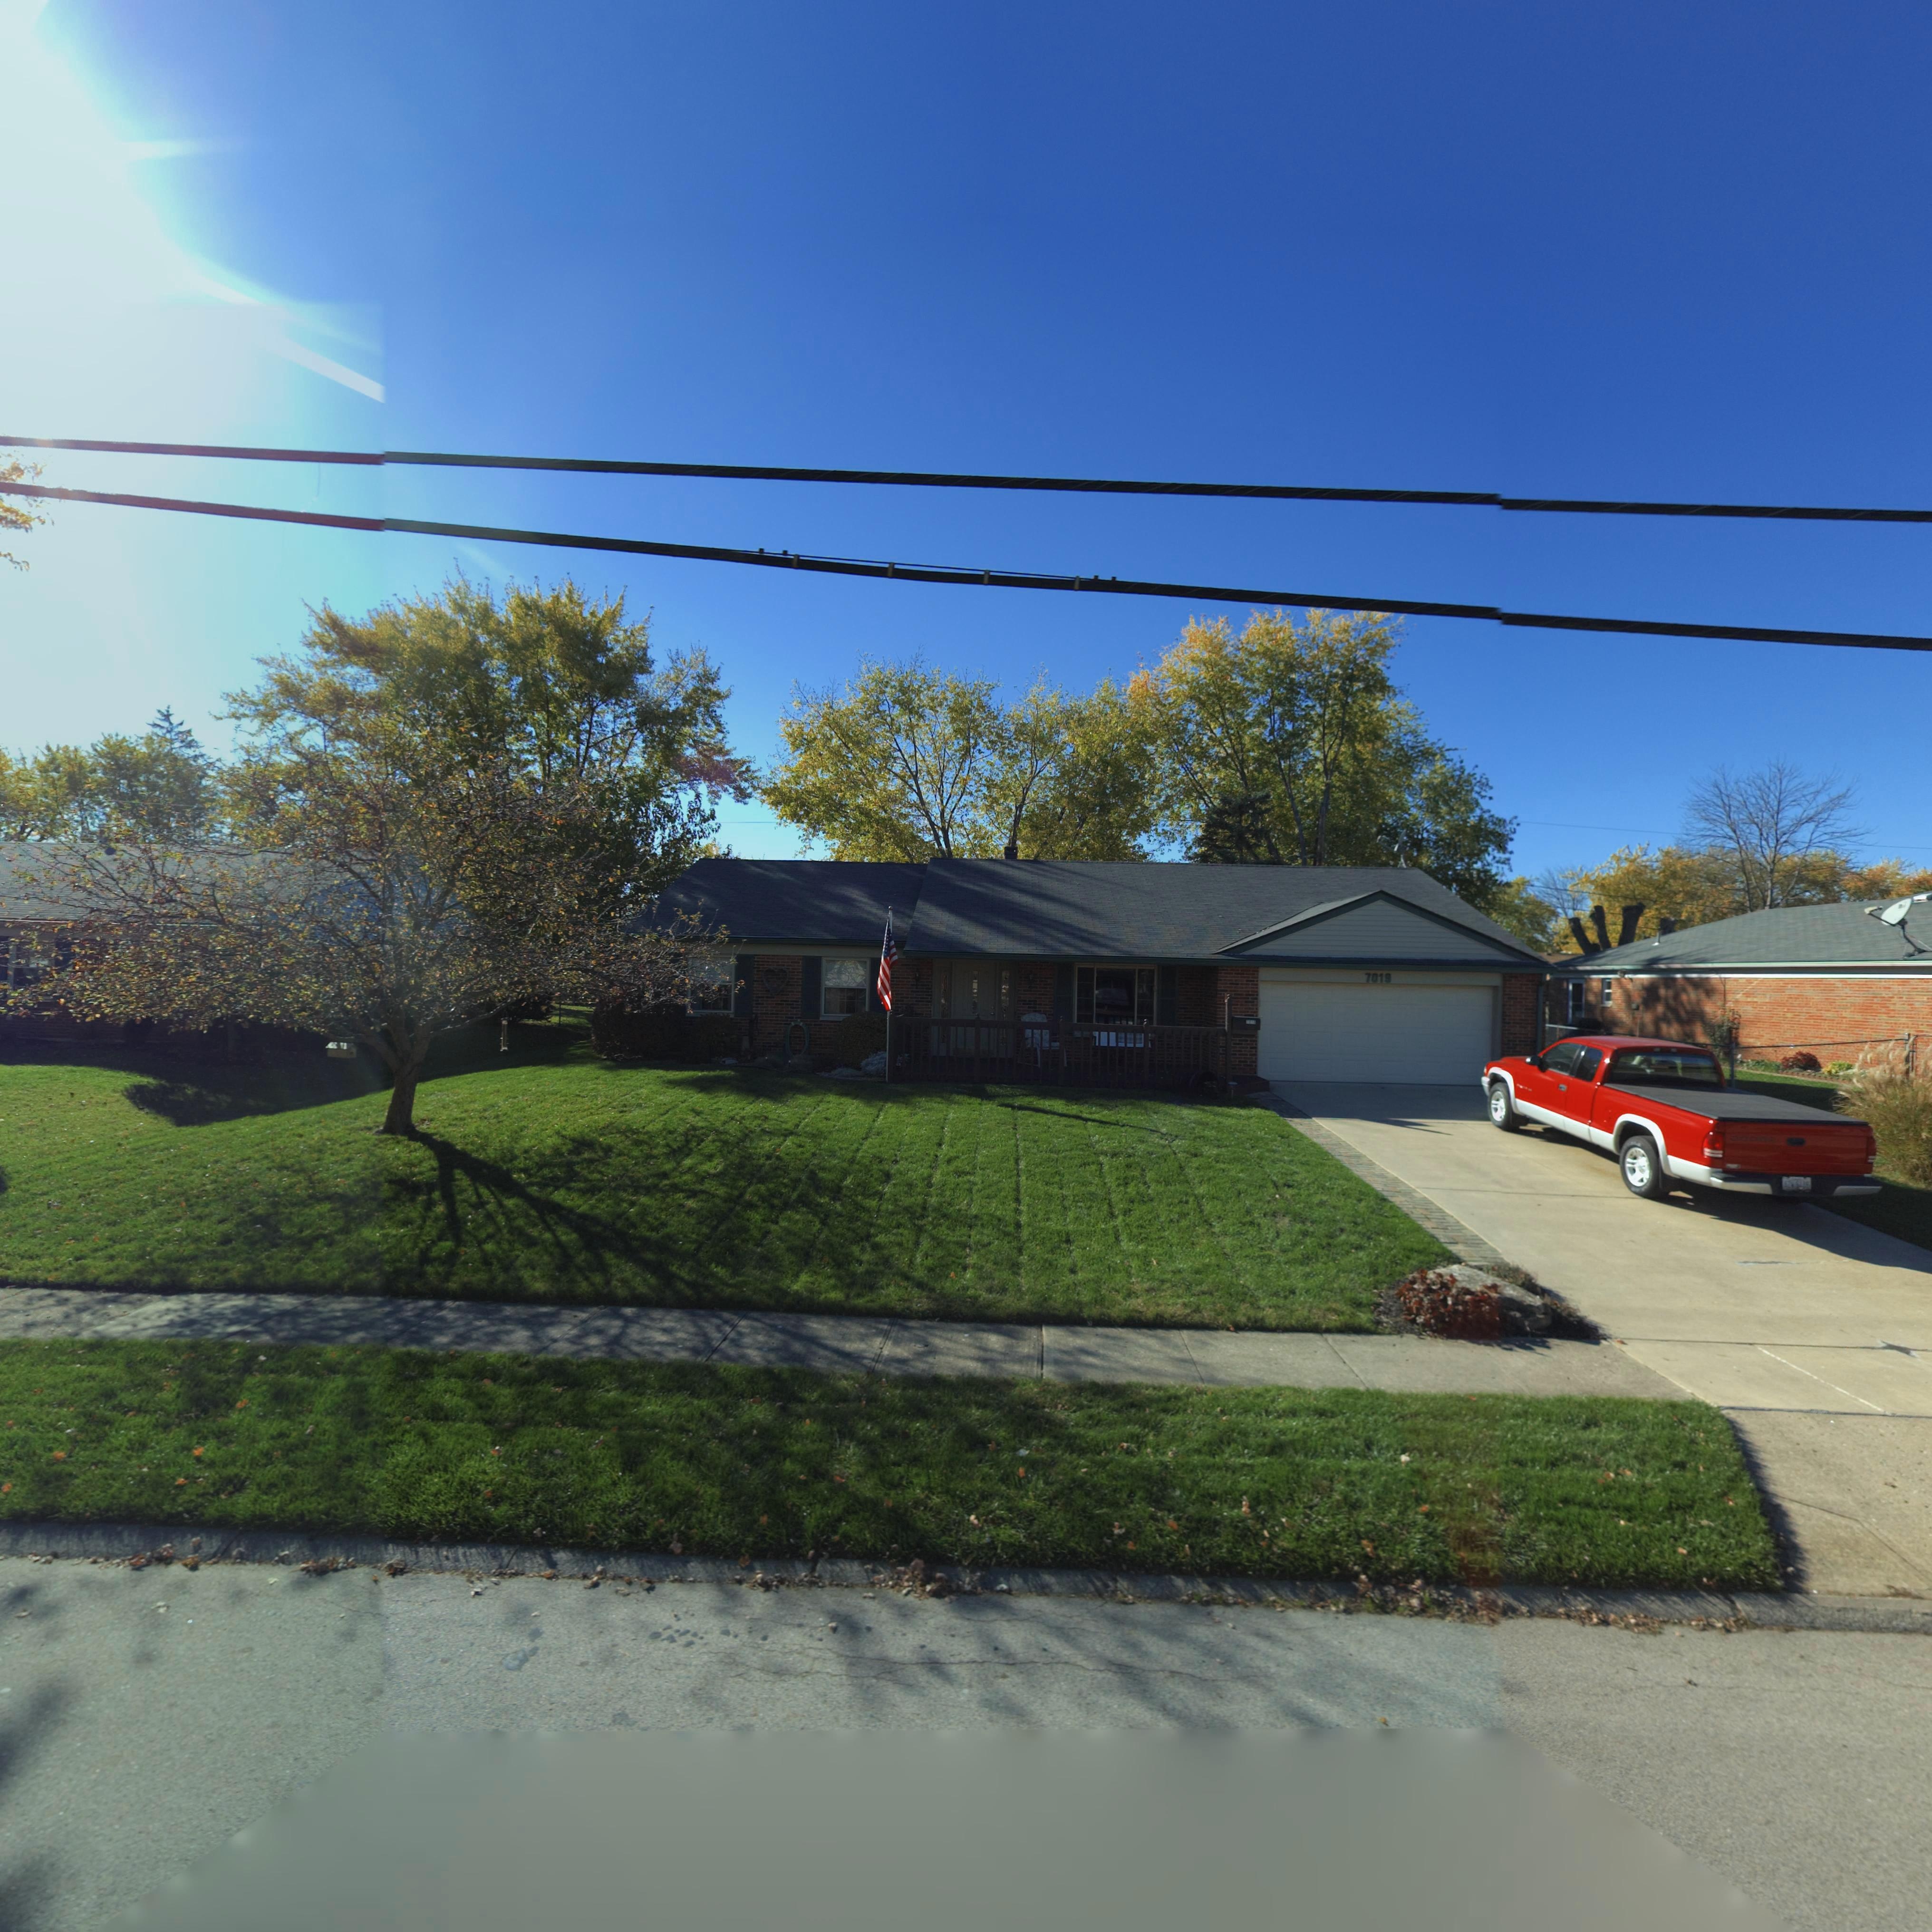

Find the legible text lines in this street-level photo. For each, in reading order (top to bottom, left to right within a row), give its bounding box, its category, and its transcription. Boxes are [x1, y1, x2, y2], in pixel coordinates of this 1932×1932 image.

[1364, 972, 1392, 984] StreetNumber: 7019
[1246, 1020, 1256, 1024] StreetNumber: 7*1*